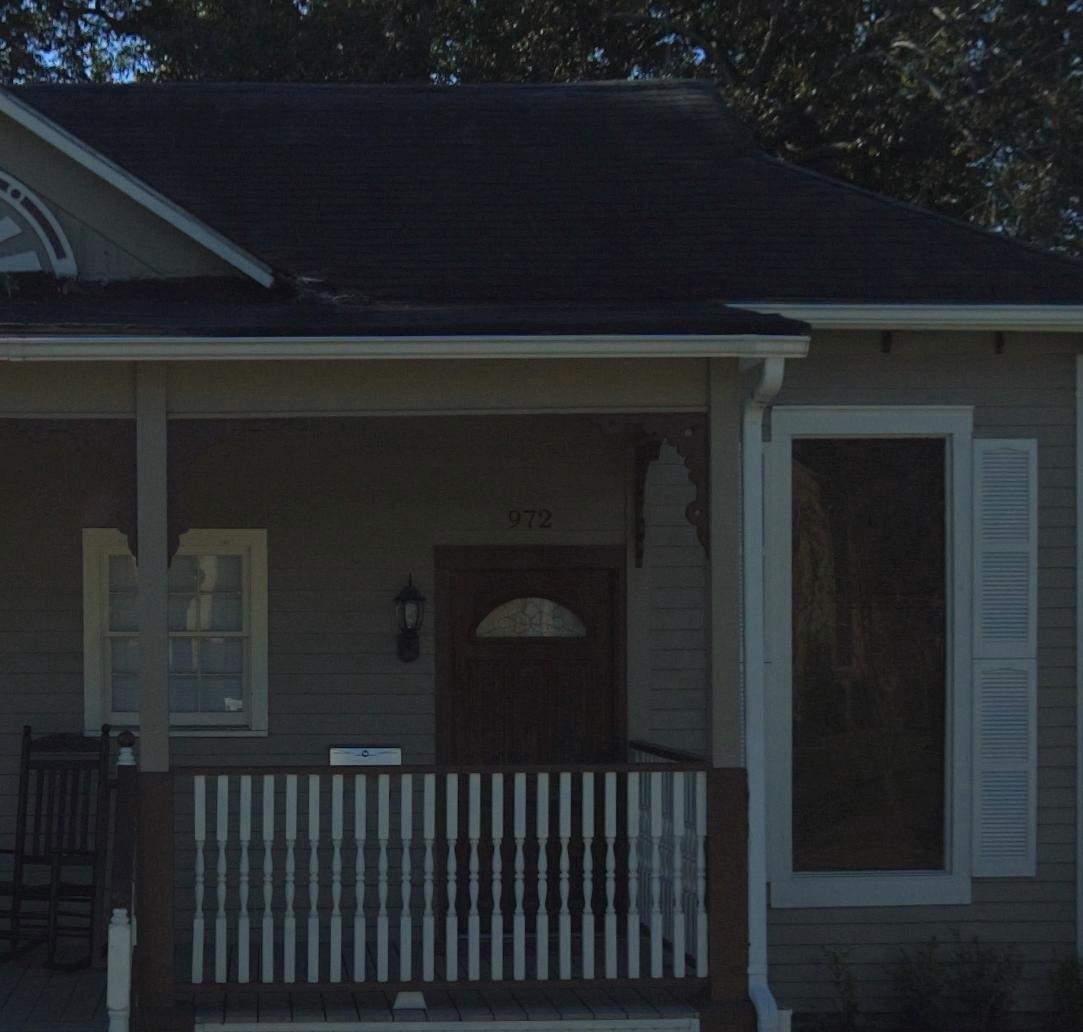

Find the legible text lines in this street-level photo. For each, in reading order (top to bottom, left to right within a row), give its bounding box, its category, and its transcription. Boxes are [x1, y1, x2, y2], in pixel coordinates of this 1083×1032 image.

[504, 506, 556, 533] StreetNumber: 972